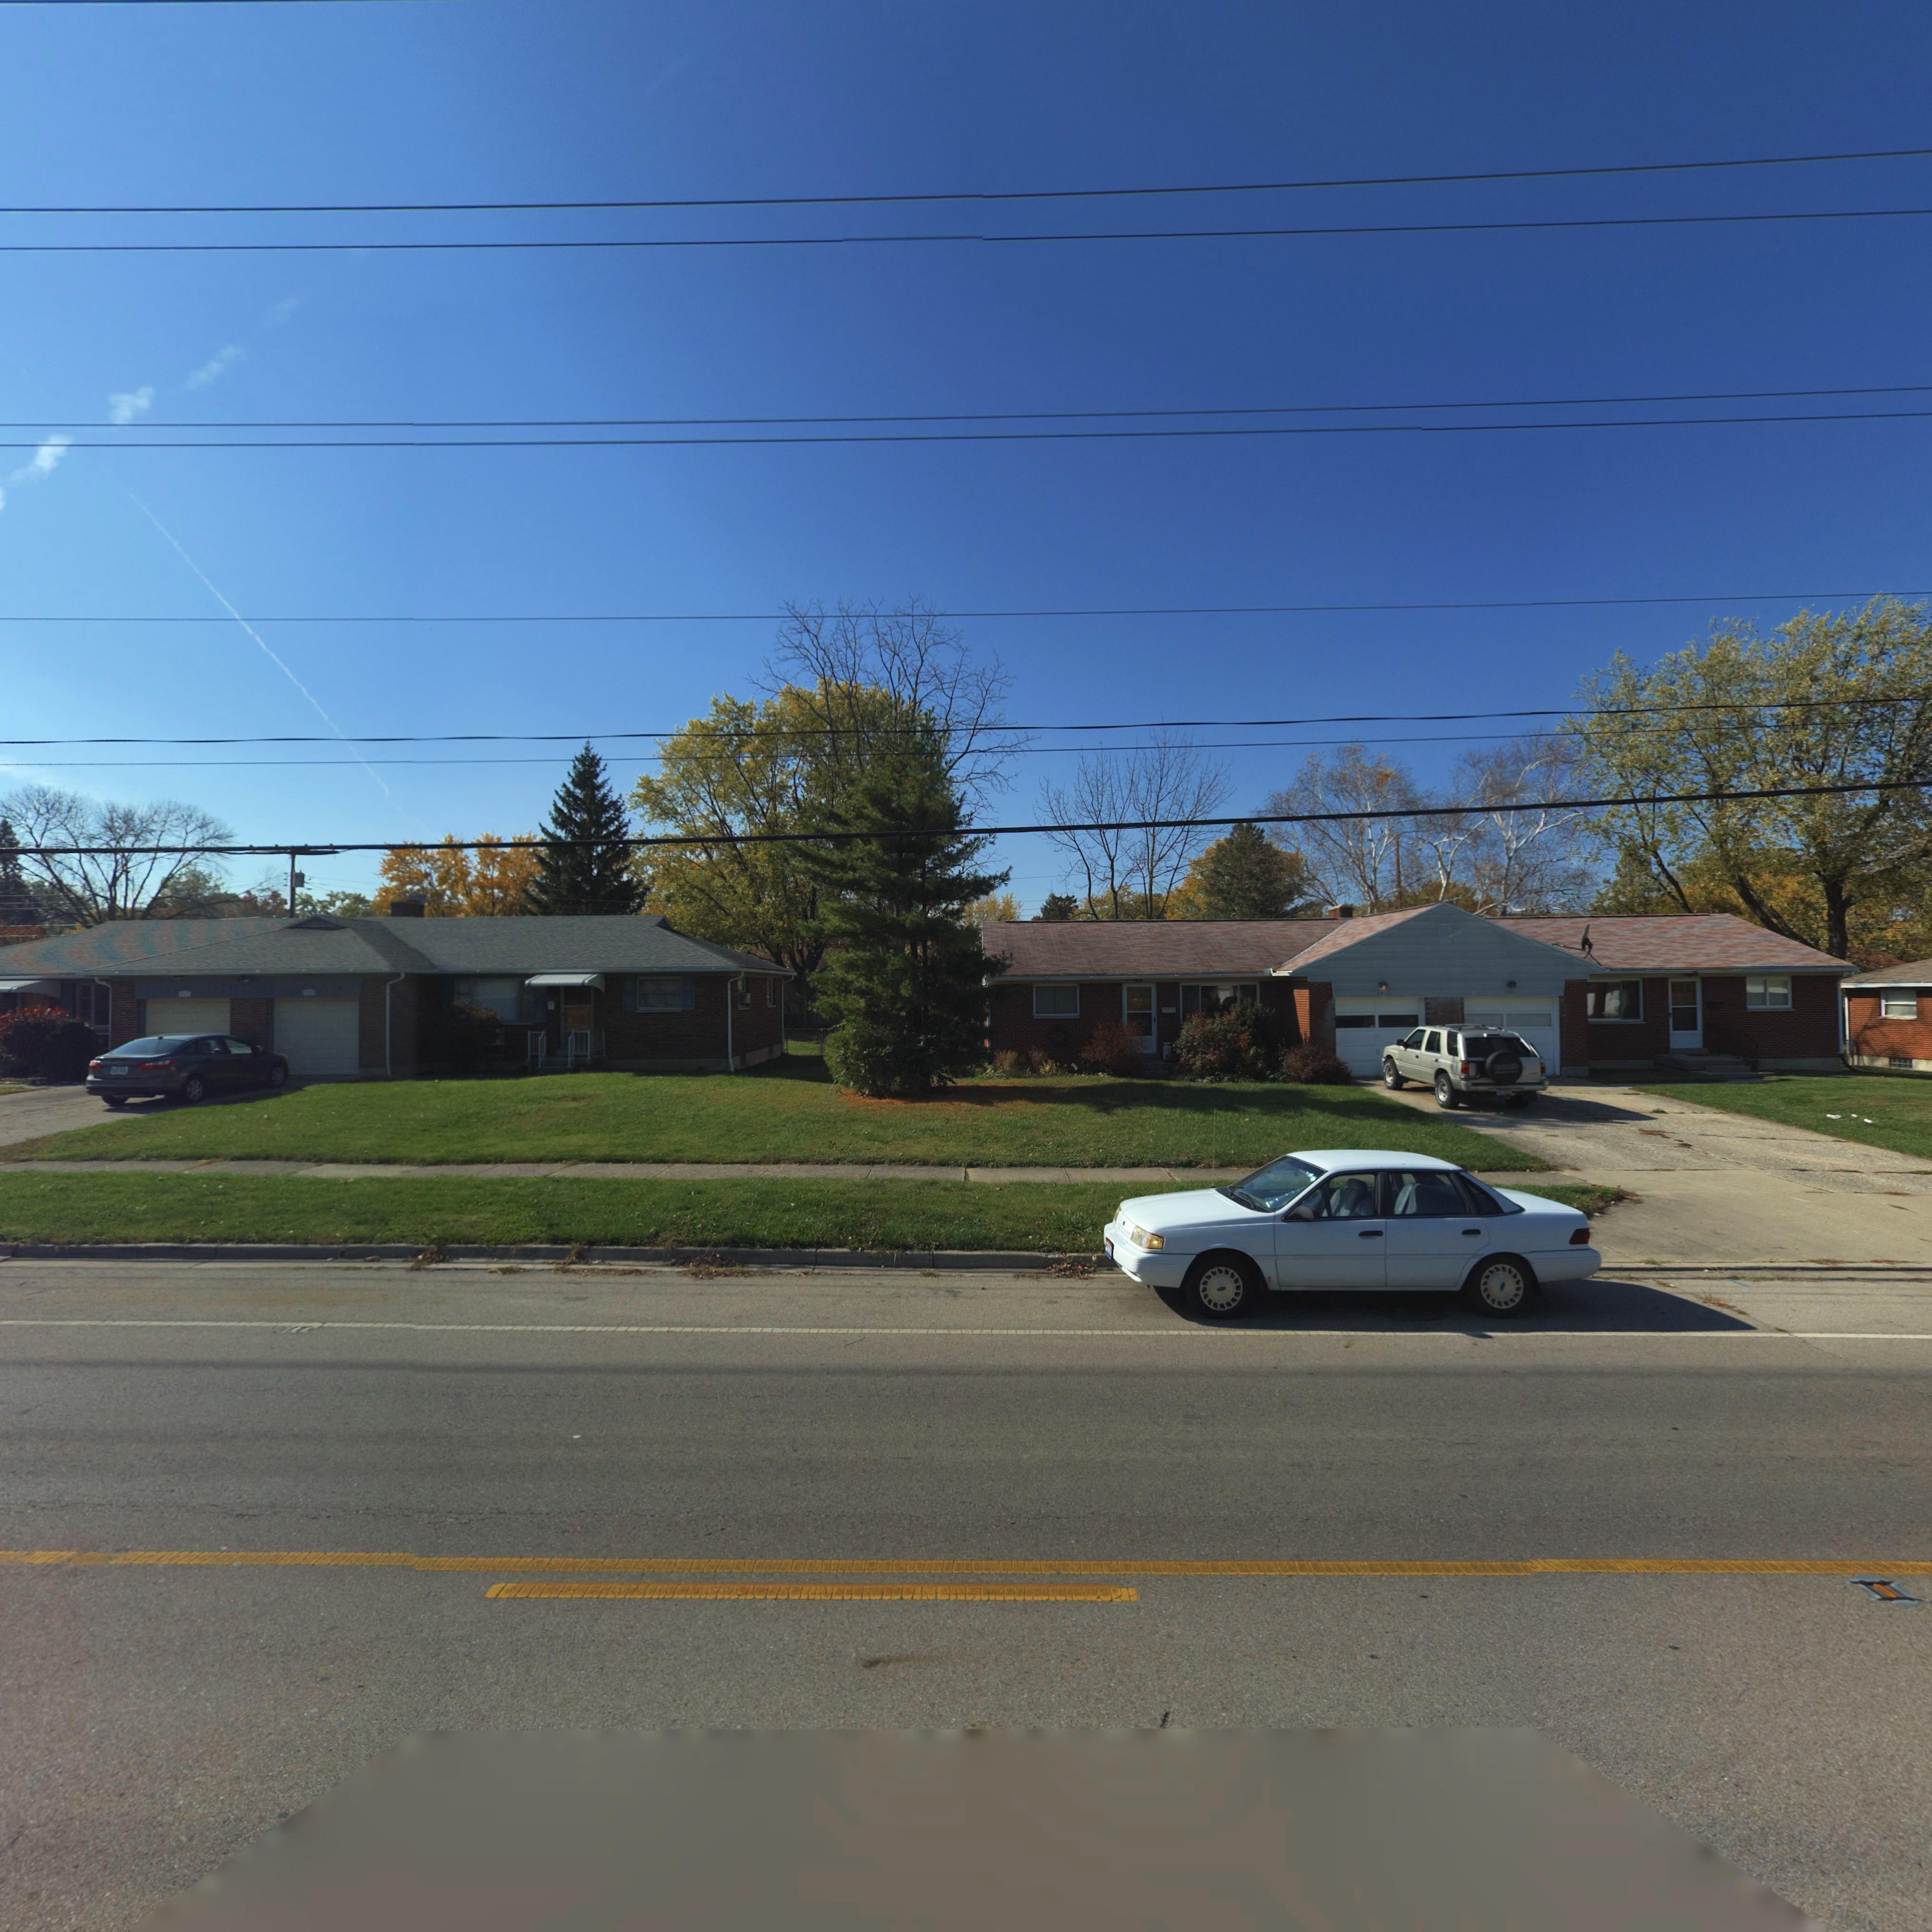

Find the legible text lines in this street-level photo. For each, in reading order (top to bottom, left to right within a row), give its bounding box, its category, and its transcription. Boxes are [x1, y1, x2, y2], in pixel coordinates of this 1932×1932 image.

[179, 992, 189, 996] StreetNumber: 3813
[303, 991, 315, 995] StreetNumber: 3809
[1375, 991, 1392, 997] StreetNumber: 3805
[1503, 990, 1517, 995] StreetNumber: 3801
[1493, 1062, 1520, 1071] None: RODEO